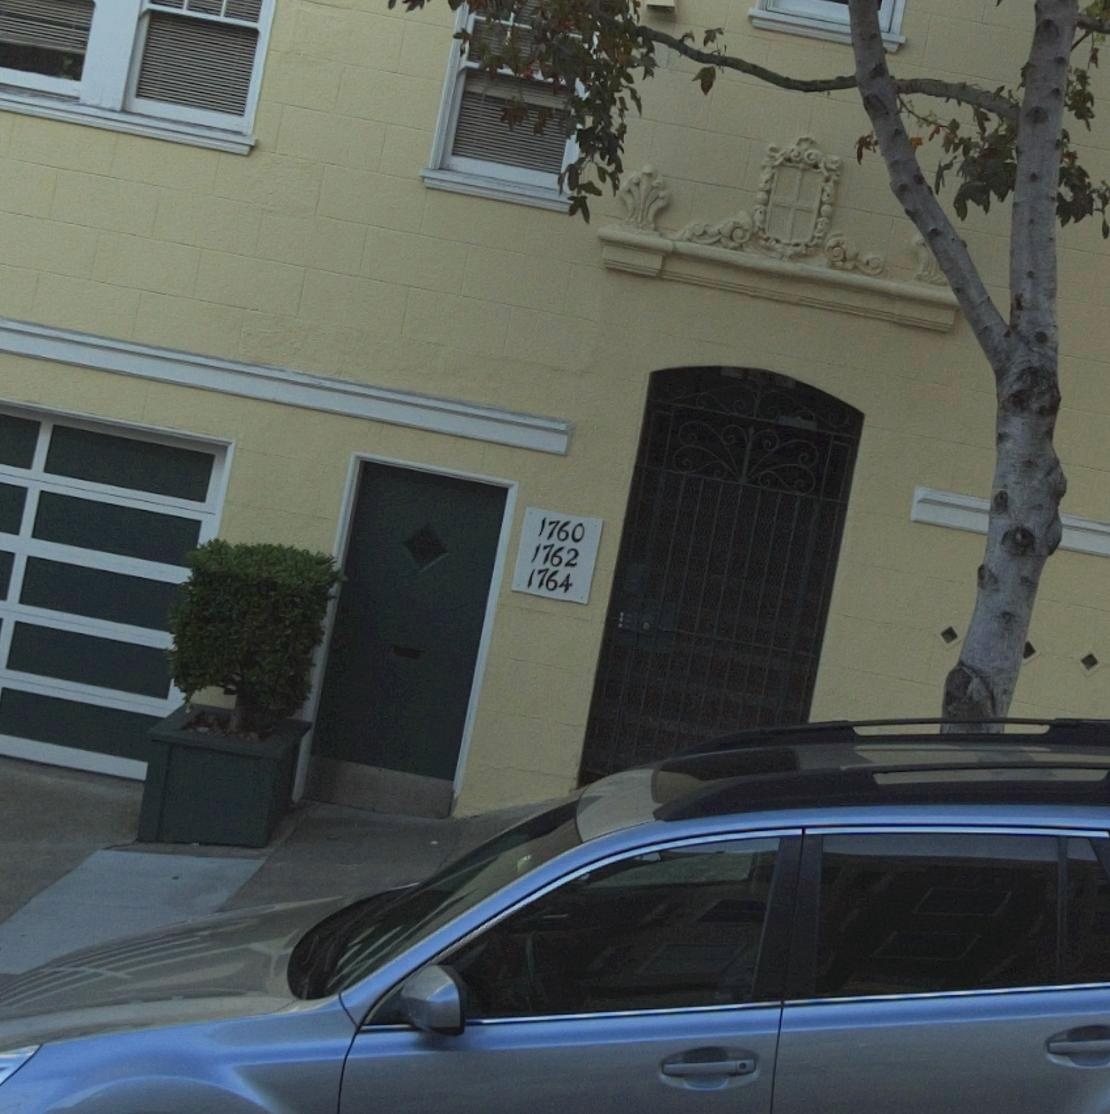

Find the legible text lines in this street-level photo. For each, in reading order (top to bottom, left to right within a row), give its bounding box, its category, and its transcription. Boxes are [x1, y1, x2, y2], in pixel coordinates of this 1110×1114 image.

[533, 514, 588, 546] StreetNumber: 1760
[525, 539, 584, 571] StreetNumber: 1762
[522, 565, 578, 598] StreetNumber: 1764